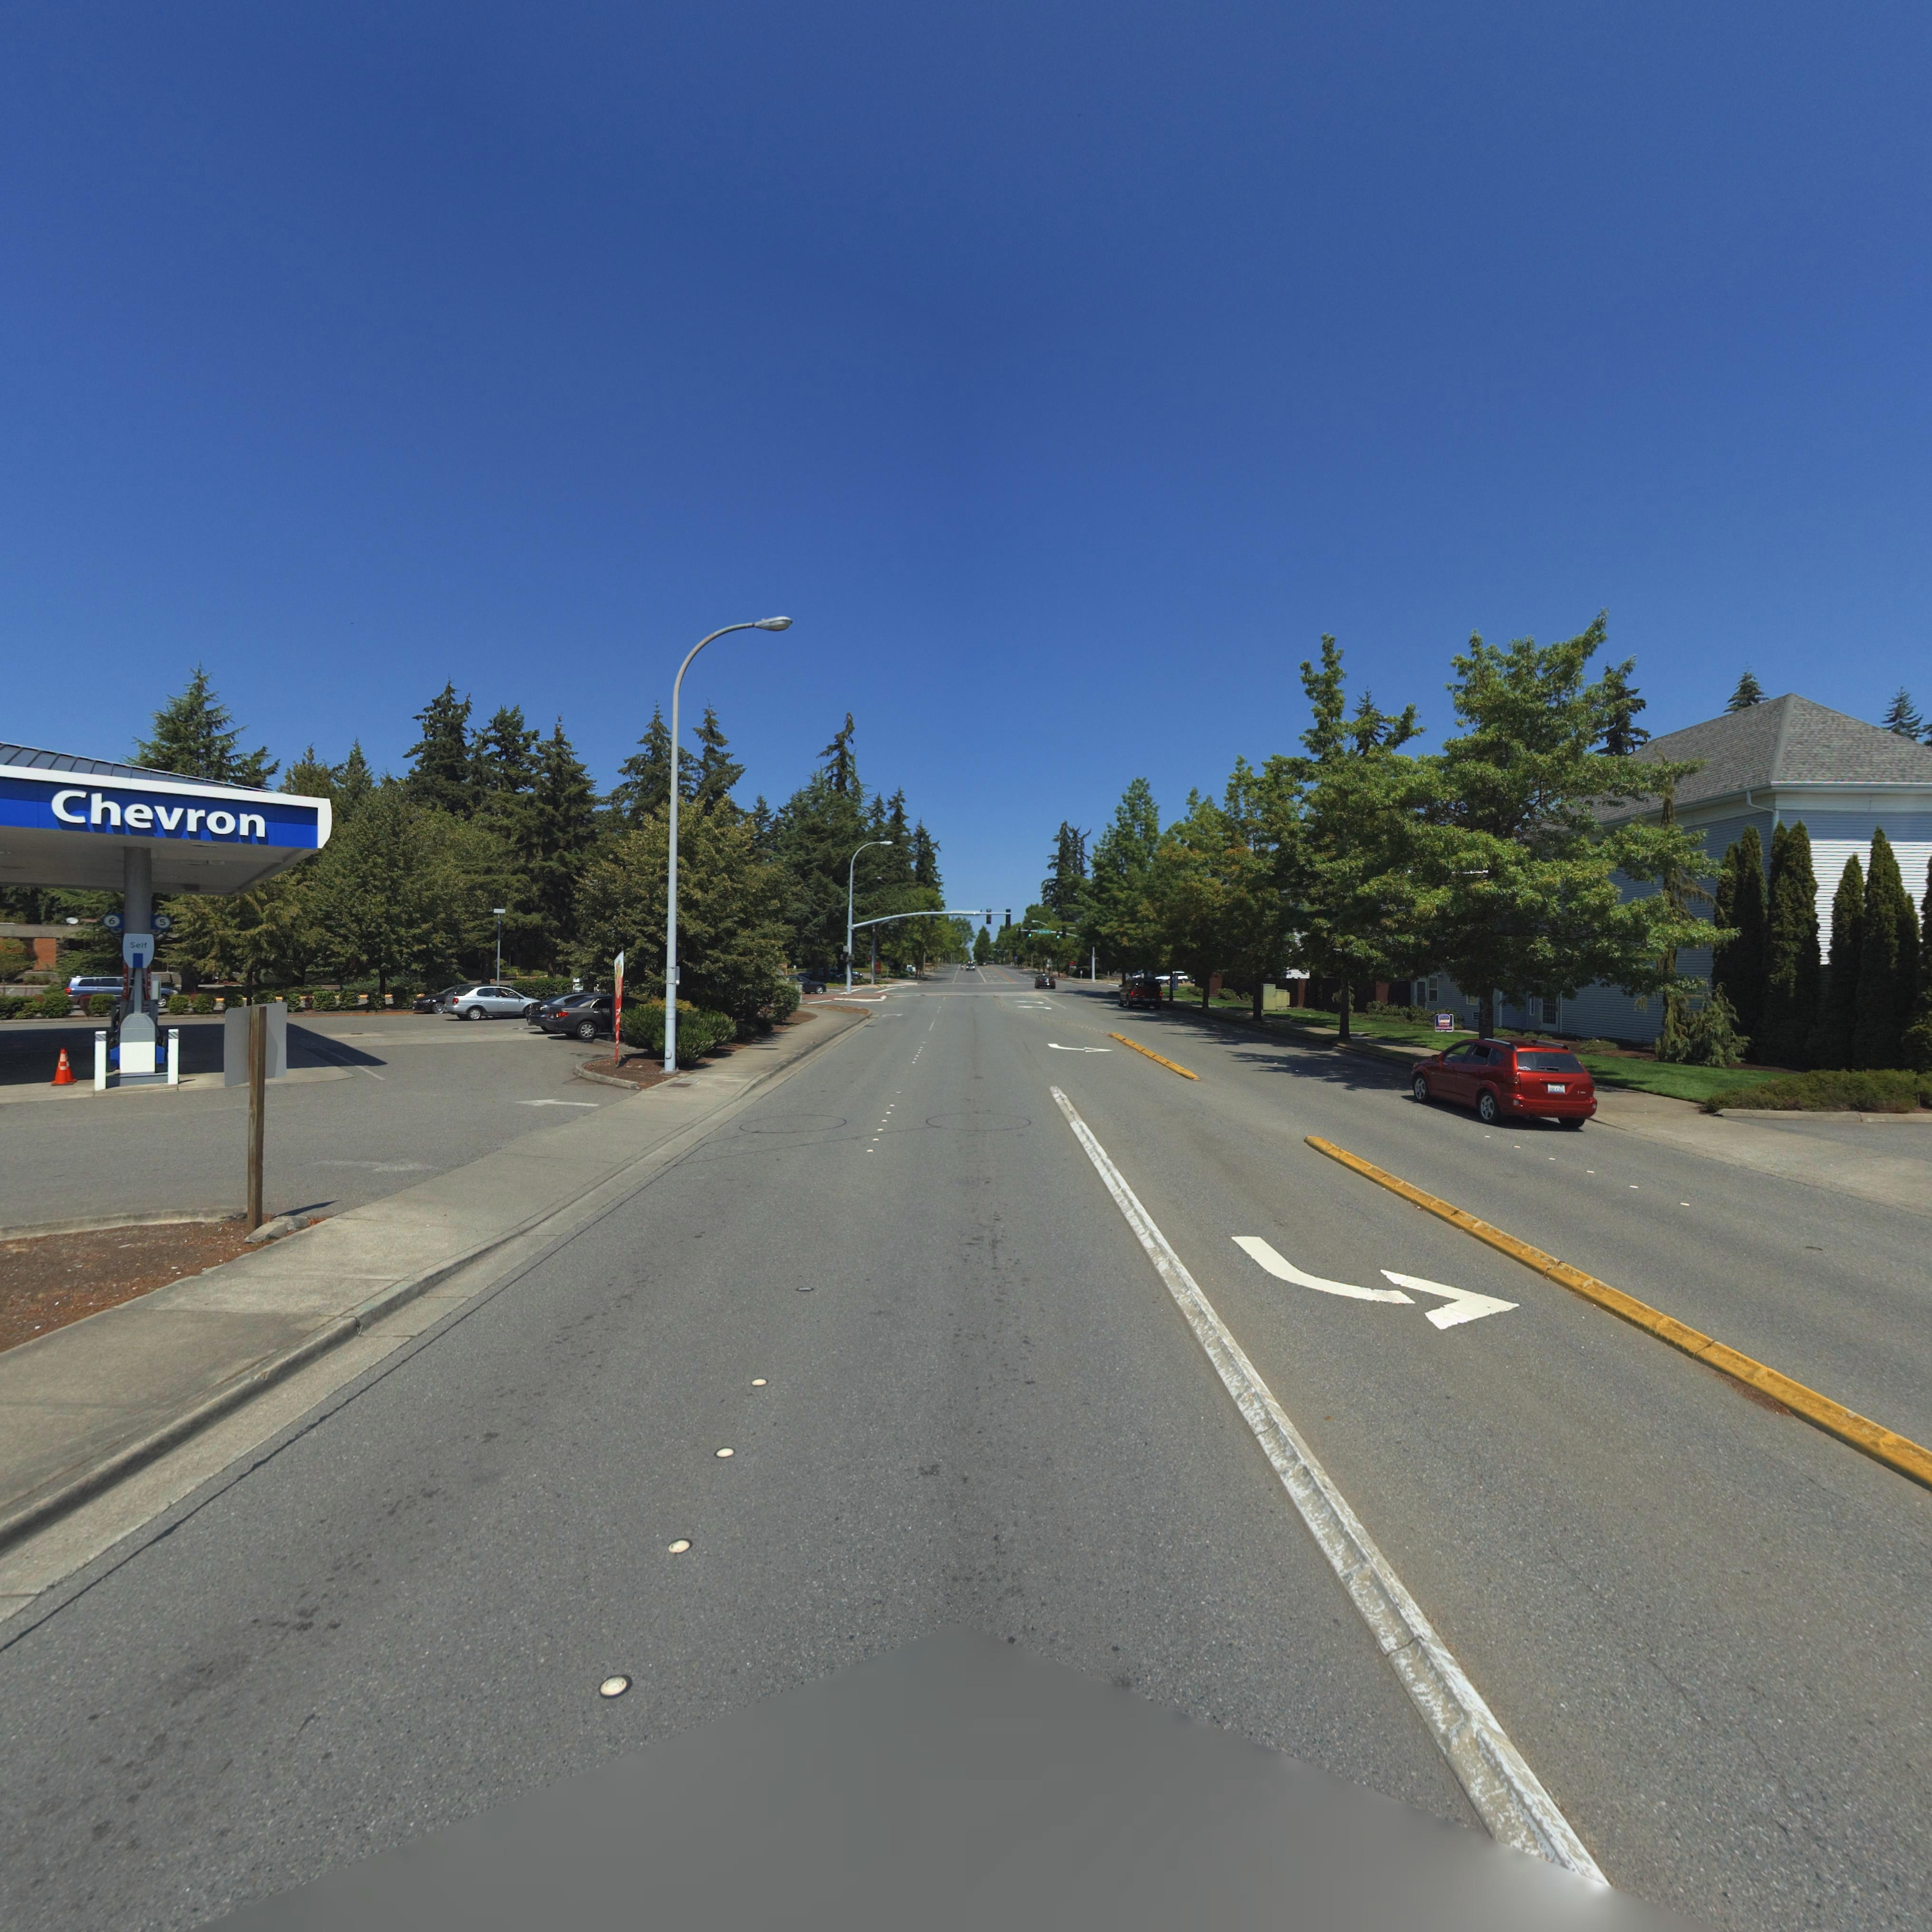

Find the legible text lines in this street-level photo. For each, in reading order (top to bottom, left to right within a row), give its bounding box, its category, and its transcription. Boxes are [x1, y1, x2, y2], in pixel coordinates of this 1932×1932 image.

[50, 788, 265, 838] BusinessName: Chevron